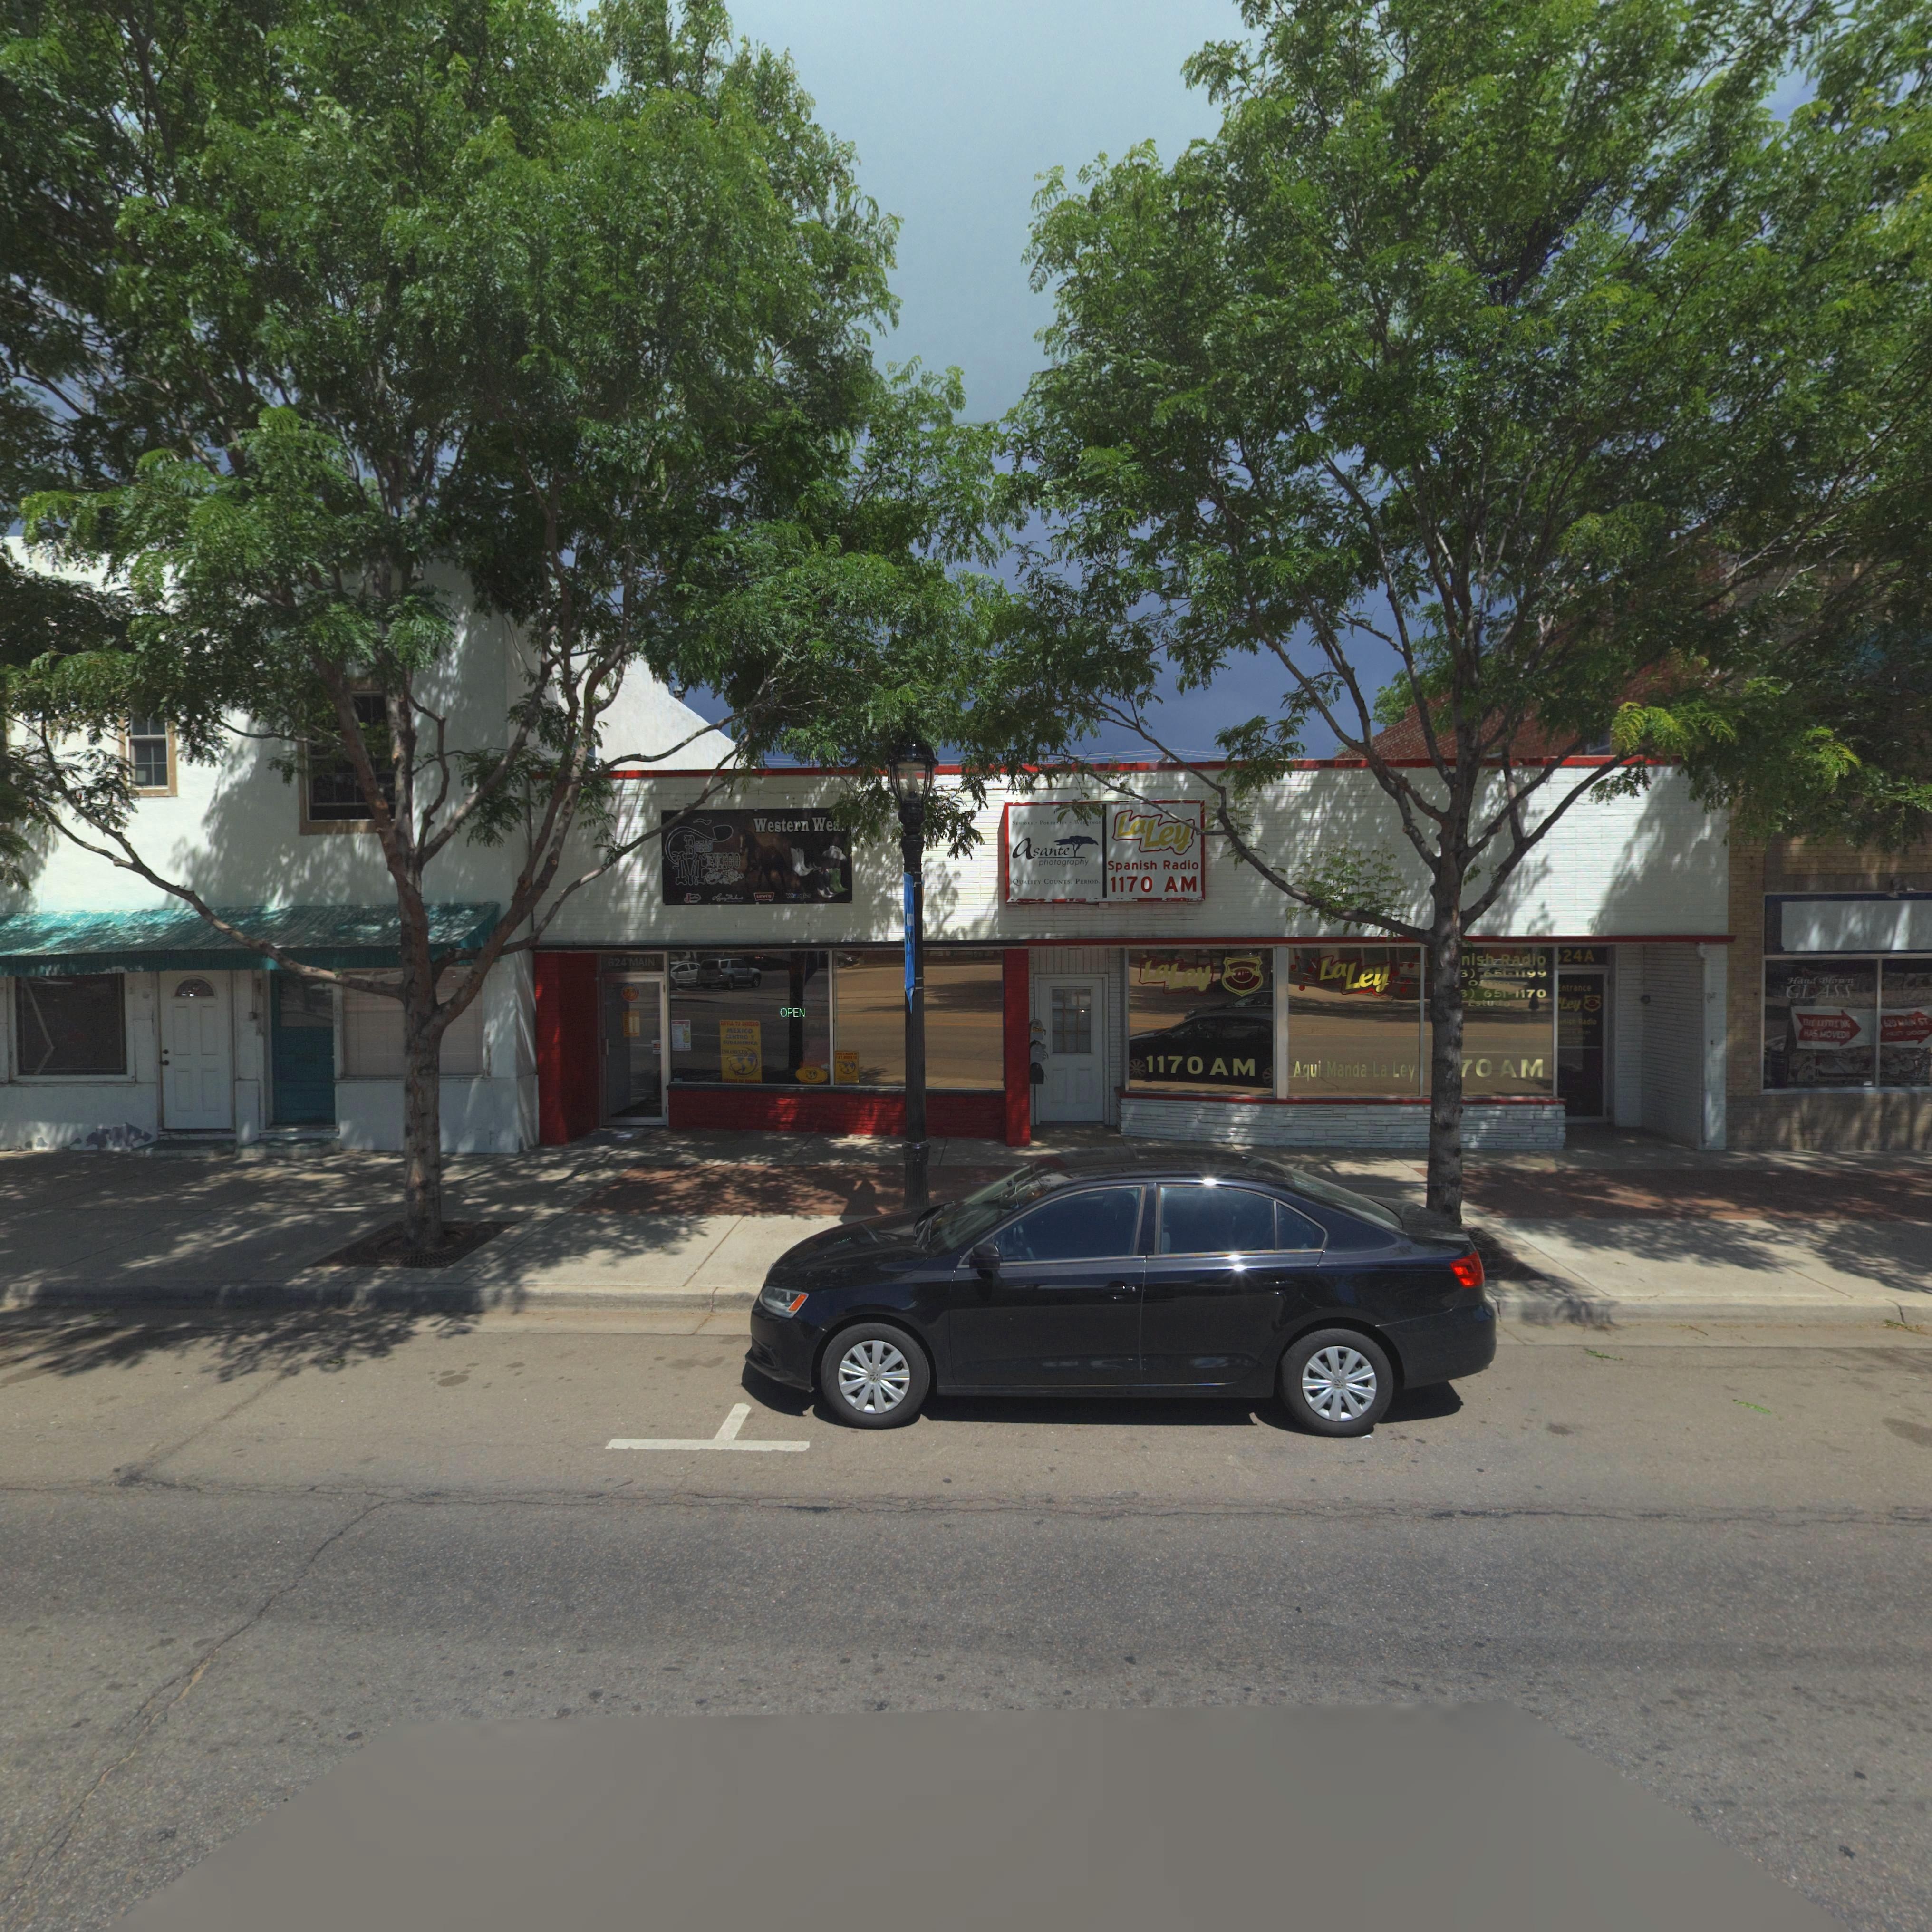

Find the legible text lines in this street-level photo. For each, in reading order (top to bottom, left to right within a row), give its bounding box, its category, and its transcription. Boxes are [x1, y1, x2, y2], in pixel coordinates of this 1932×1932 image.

[1116, 812, 1193, 853] BusinessName: LaLey
[683, 833, 714, 860] BusinessName: BOTAS
[1011, 835, 1071, 860] BusinessName: asante
[671, 850, 741, 886] BusinessName: MEXICO
[1038, 858, 1089, 868] BusinessName: photography
[607, 957, 628, 967] StreetNumber: 624
[629, 957, 655, 967] StreetName: MAIN
[1556, 947, 1595, 963] StreetNumber: *24A
[1142, 958, 1213, 993] BusinessName: LaLey
[1318, 957, 1390, 994] BusinessName: LaLey
[1786, 974, 1854, 985] BusinessName: Hand Blown
[1785, 983, 1854, 999] BusinessName: GLASS
[1557, 996, 1582, 1012] BusinessName: *Ley